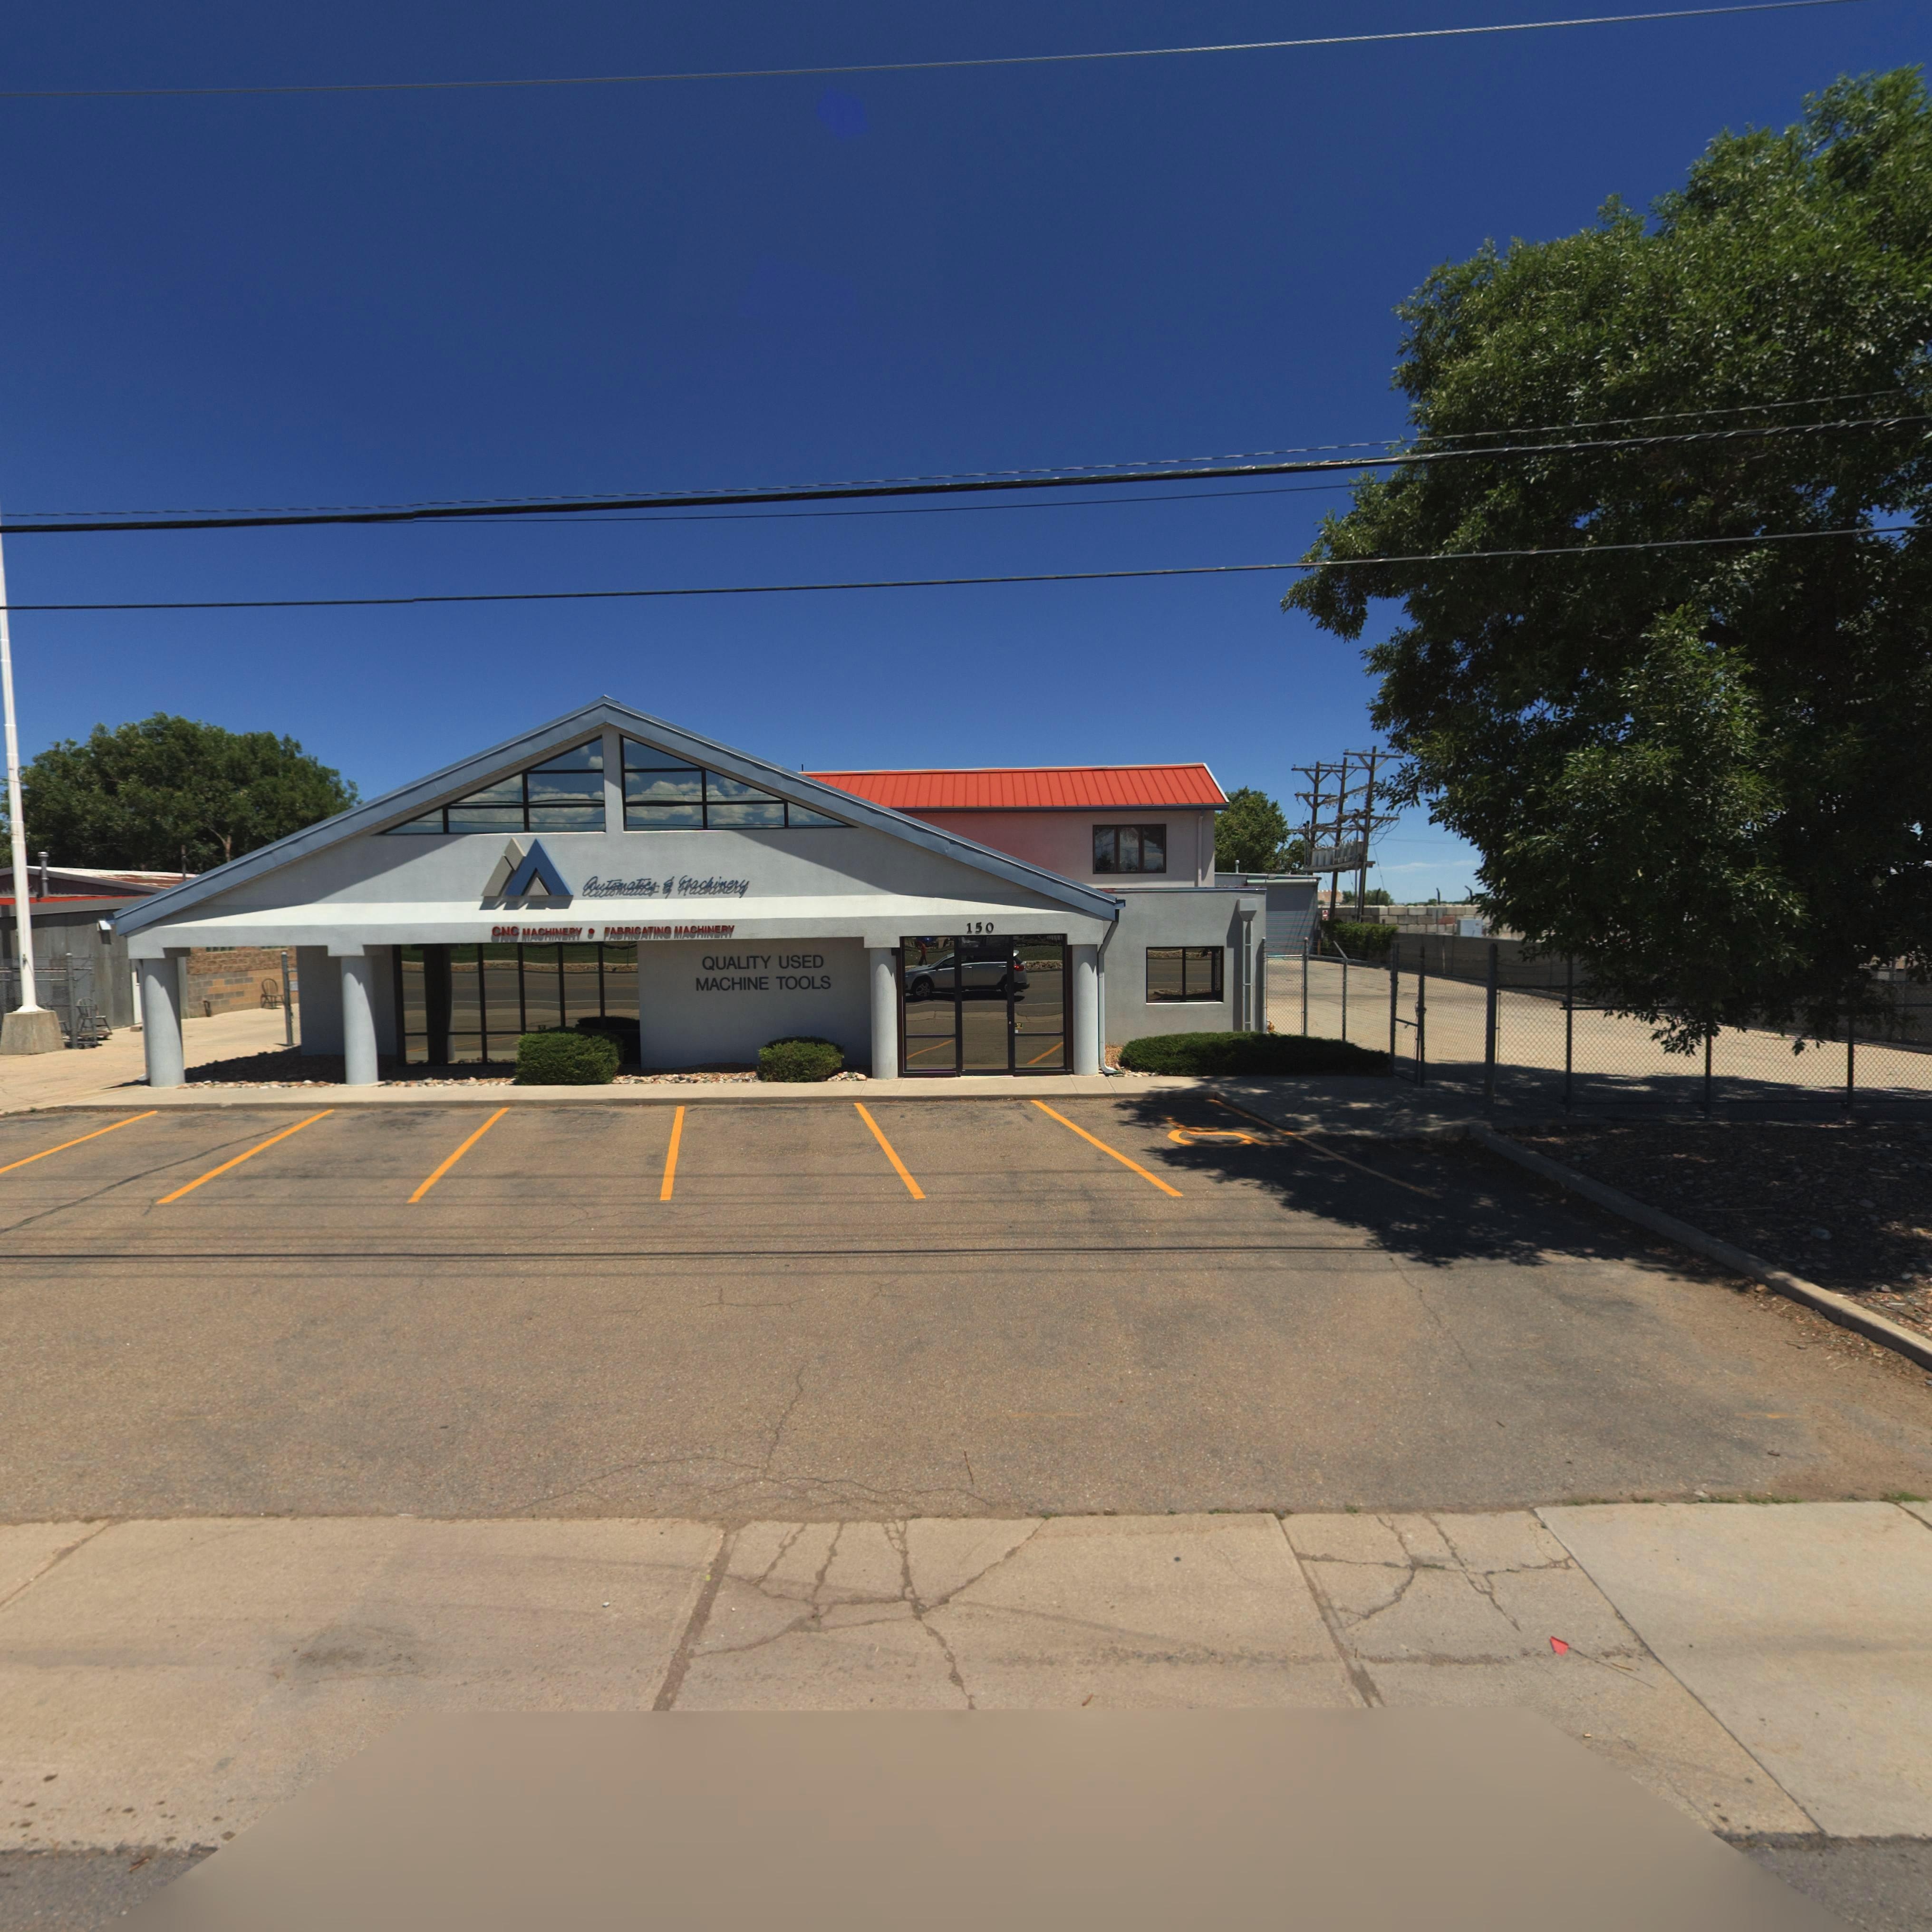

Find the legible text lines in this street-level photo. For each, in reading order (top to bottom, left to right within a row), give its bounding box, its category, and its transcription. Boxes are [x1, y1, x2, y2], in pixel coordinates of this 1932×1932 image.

[582, 875, 751, 895] BusinessName: AuTomaTics * Machinery
[966, 921, 995, 933] StreetNumber: 150